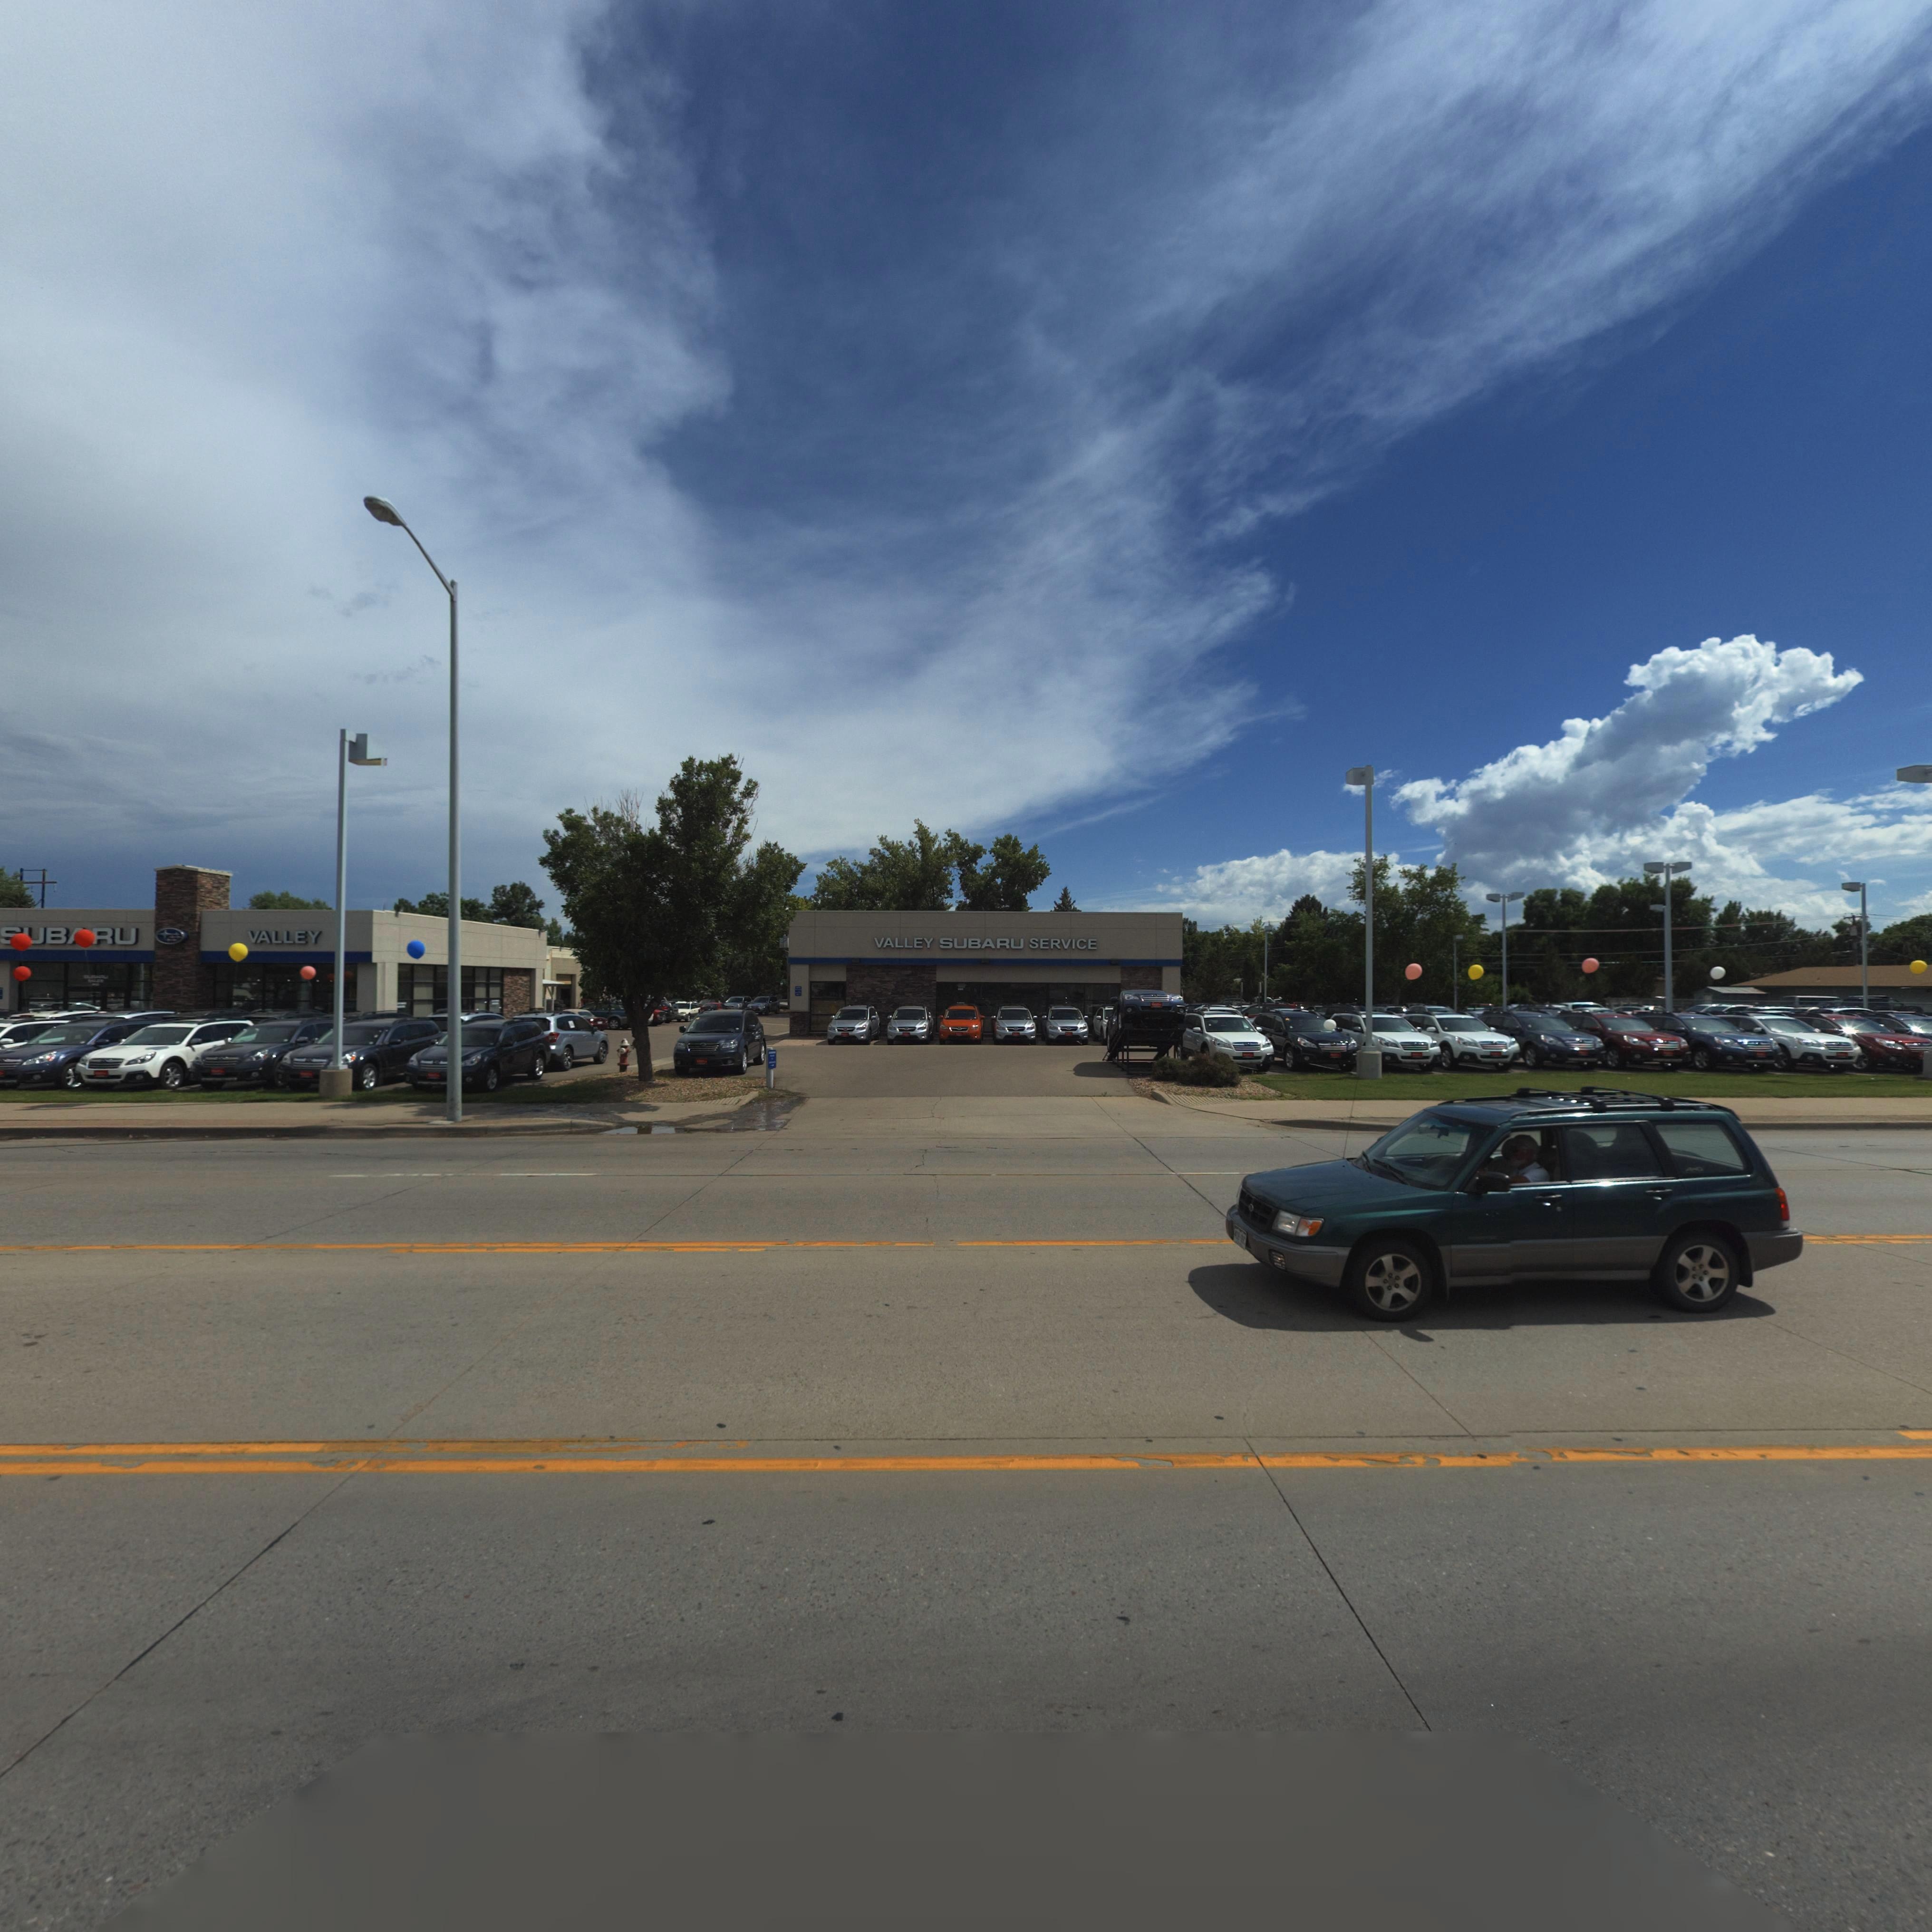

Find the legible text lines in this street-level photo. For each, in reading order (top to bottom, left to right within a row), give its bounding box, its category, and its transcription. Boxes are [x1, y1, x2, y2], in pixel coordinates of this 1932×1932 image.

[23, 927, 139, 945] BusinessName: *B*RU
[246, 930, 322, 945] BusinessName: VALLEY